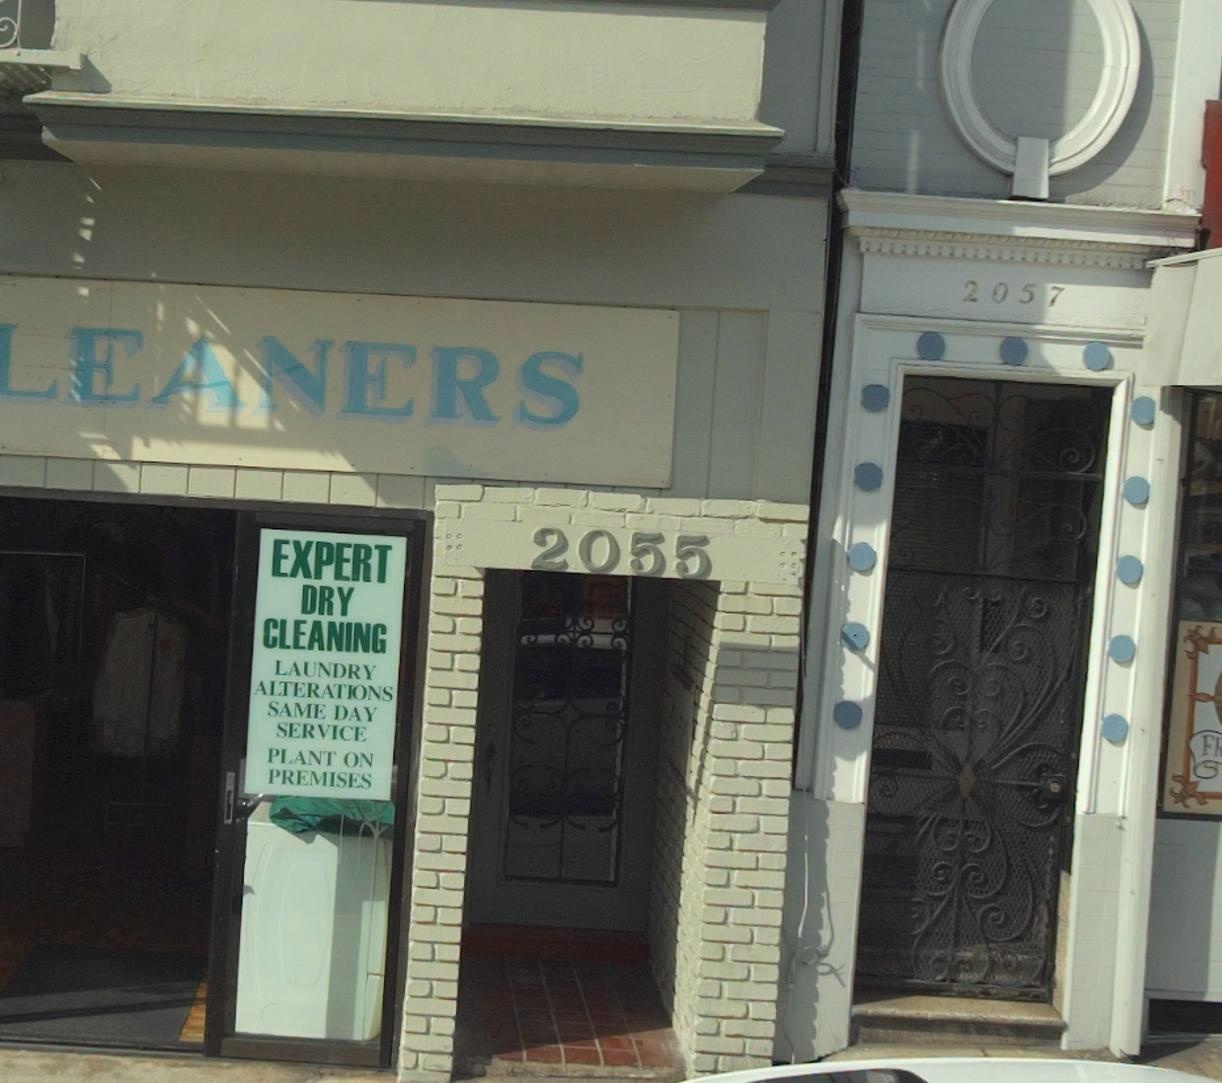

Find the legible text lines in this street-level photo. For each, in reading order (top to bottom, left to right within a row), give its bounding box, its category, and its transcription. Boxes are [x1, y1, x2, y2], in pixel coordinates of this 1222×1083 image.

[960, 276, 1069, 310] StreetNumber: 2057
[0, 319, 586, 428] BusinessName: LEANERS
[269, 534, 396, 586] None: EXPERT
[528, 525, 713, 582] StreetNumber: 2055
[298, 581, 357, 619] None: DRY
[260, 616, 390, 657] None: CLEANING
[271, 656, 380, 683] None: LAUNDRY
[249, 678, 396, 704] None: ALTERATIONS
[264, 699, 380, 725] None: SAME DAY
[273, 719, 369, 745] None: SERVICE
[263, 744, 376, 770] None: PLANT ON
[1200, 733, 1216, 759] None: F
[266, 767, 374, 792] None: PREMISES